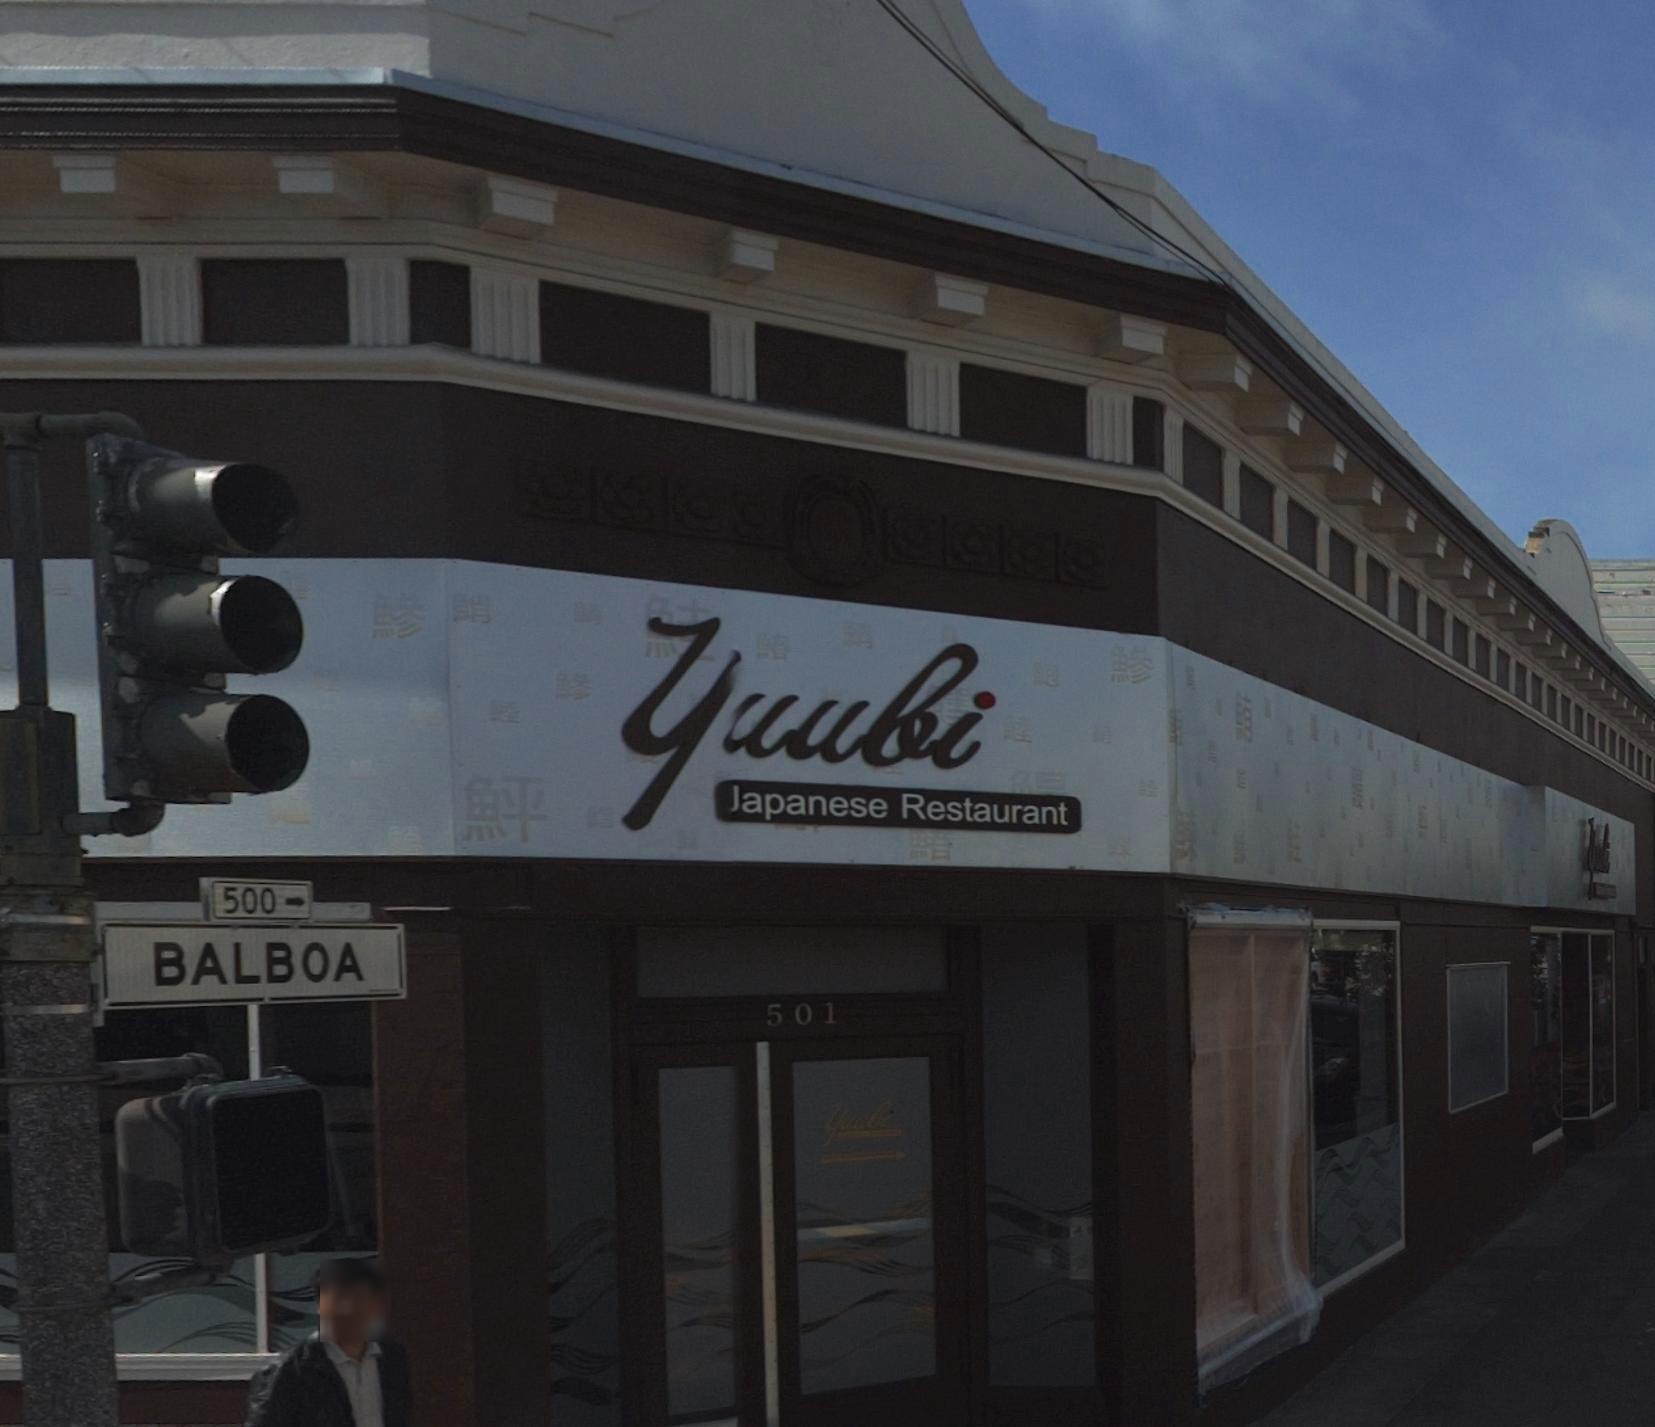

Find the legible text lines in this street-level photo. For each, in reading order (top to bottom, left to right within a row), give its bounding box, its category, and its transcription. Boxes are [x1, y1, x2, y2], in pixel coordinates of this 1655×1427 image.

[614, 613, 1007, 837] BusinessName: Yuubi
[720, 782, 1073, 832] None: Japanese Restaurant
[214, 884, 316, 920] StreetNumber: 500 ->
[149, 938, 370, 990] StreetName: BALBOA
[763, 998, 840, 1030] None: 501
[818, 1098, 898, 1151] None: Yuubi